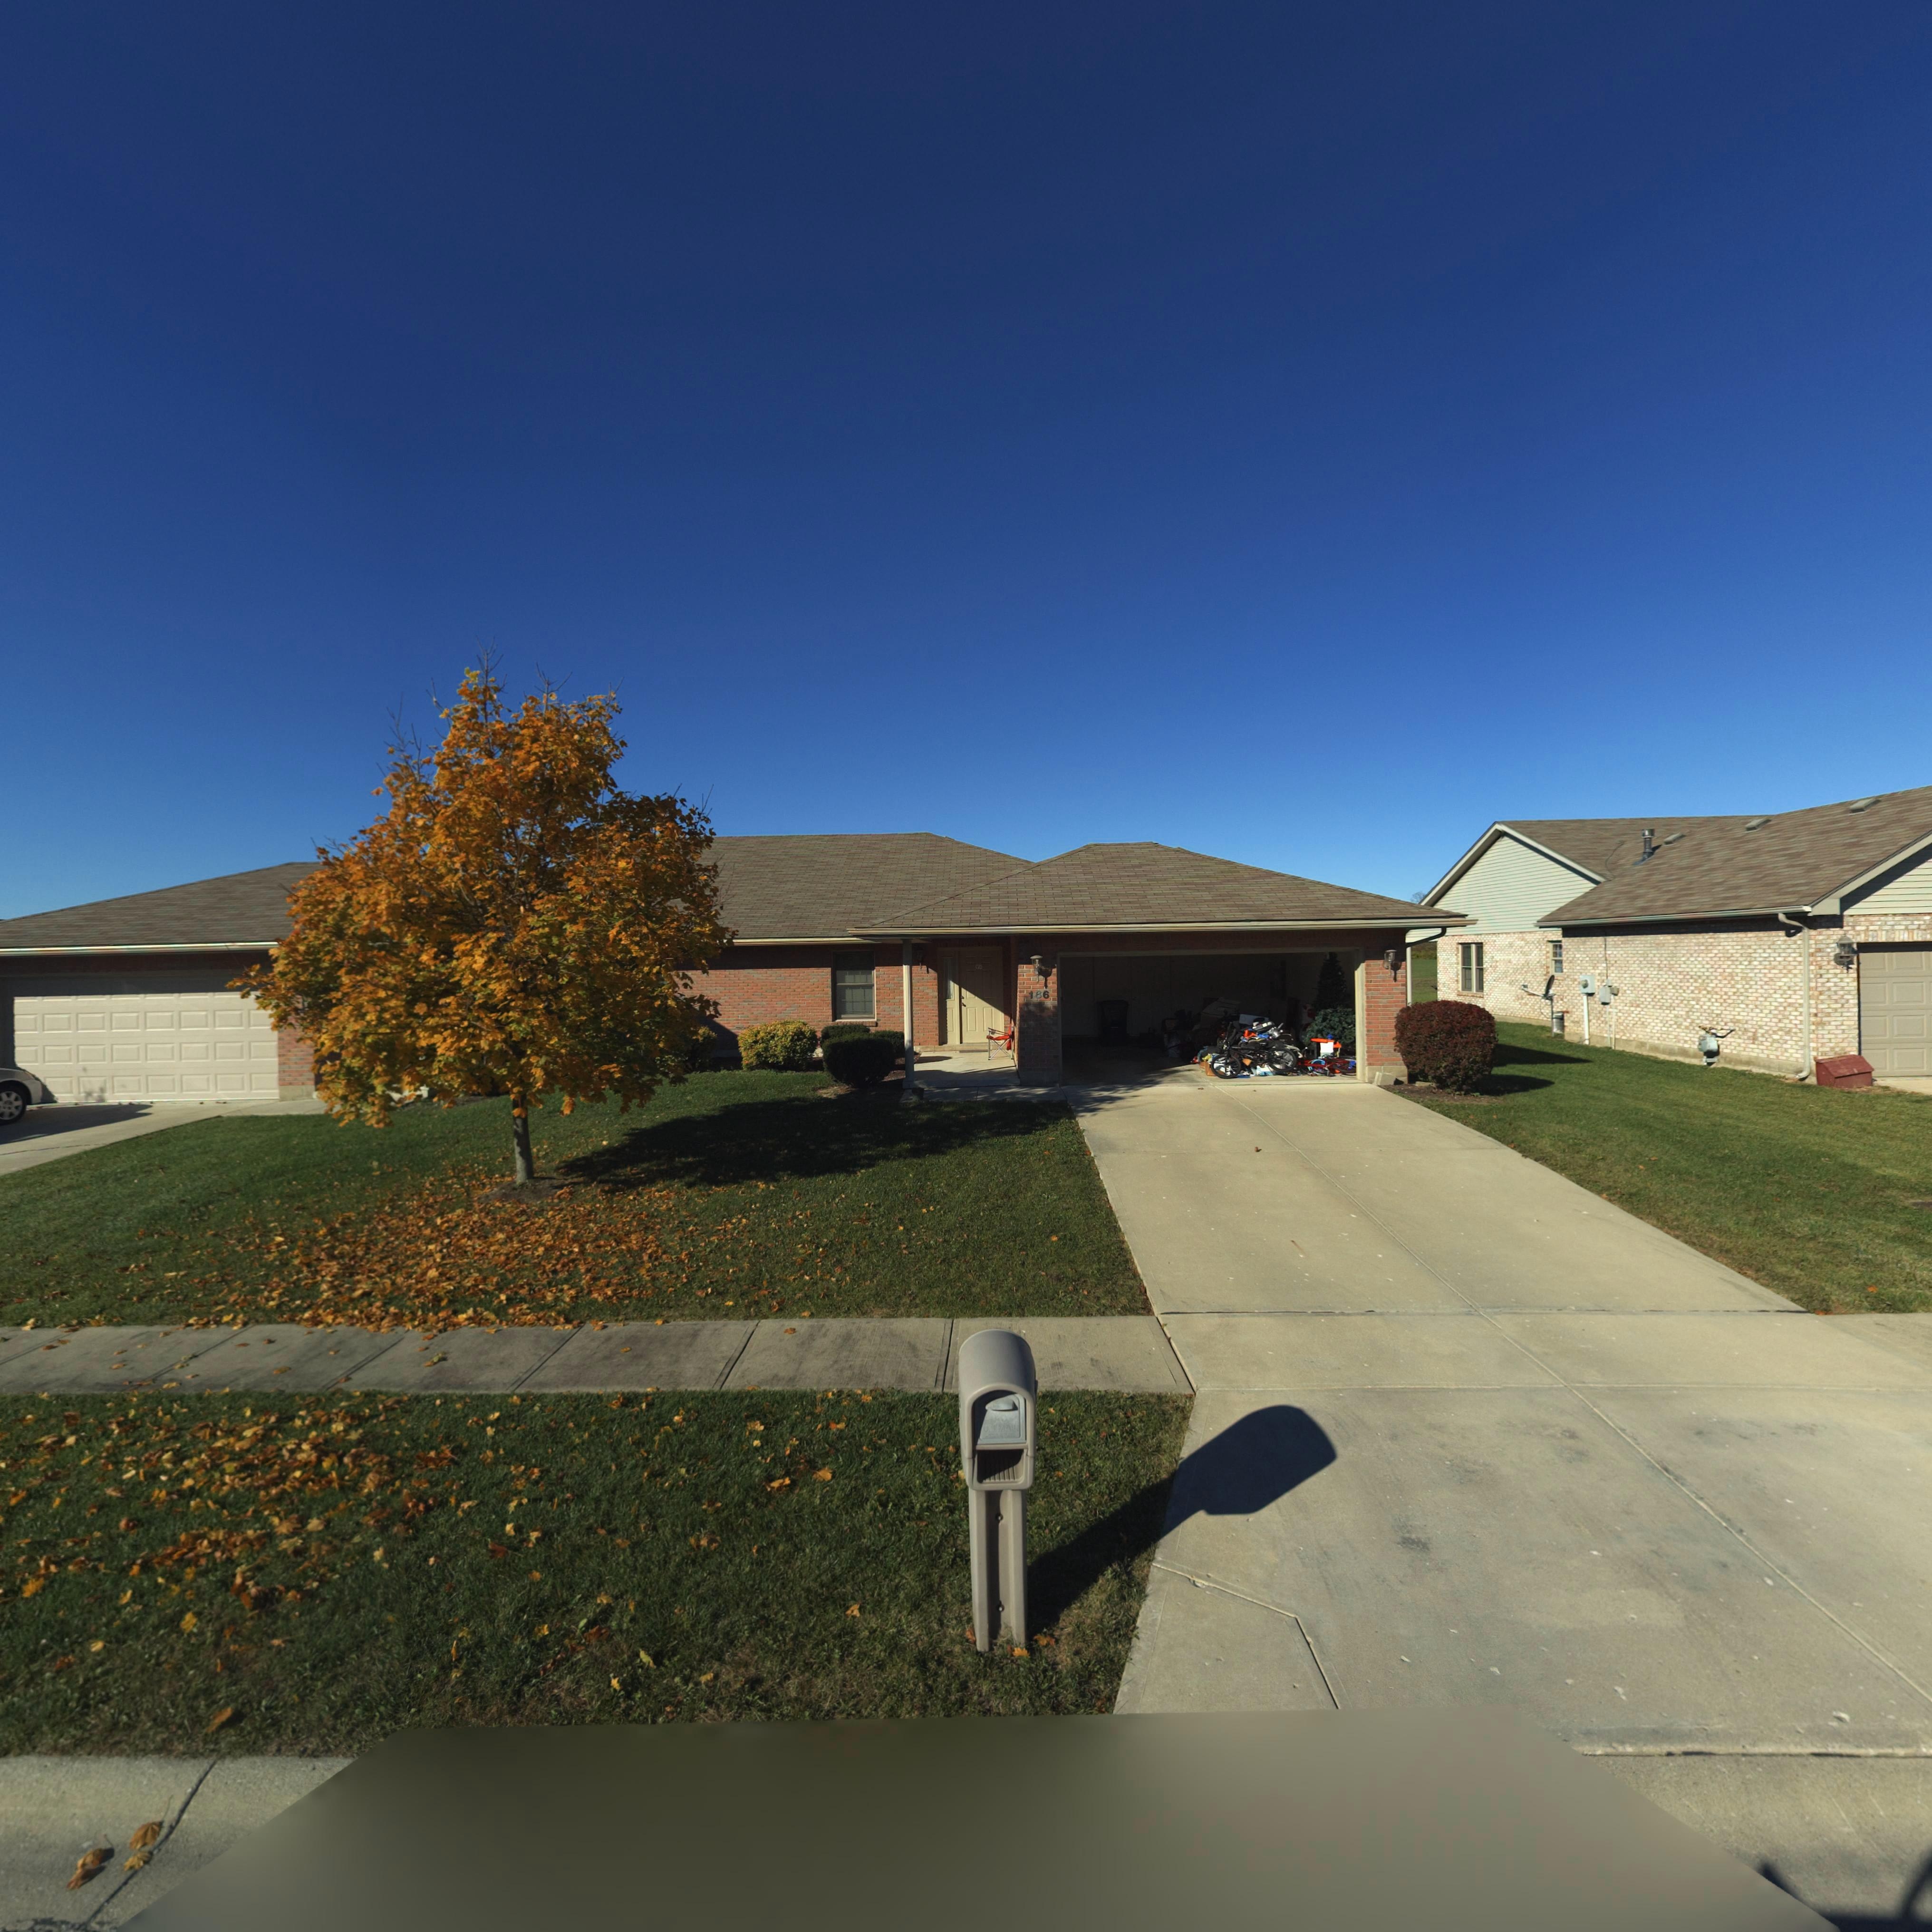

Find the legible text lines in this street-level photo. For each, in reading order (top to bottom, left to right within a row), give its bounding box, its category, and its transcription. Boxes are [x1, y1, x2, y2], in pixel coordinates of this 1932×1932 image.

[1028, 990, 1050, 1000] StreetNumber: 186